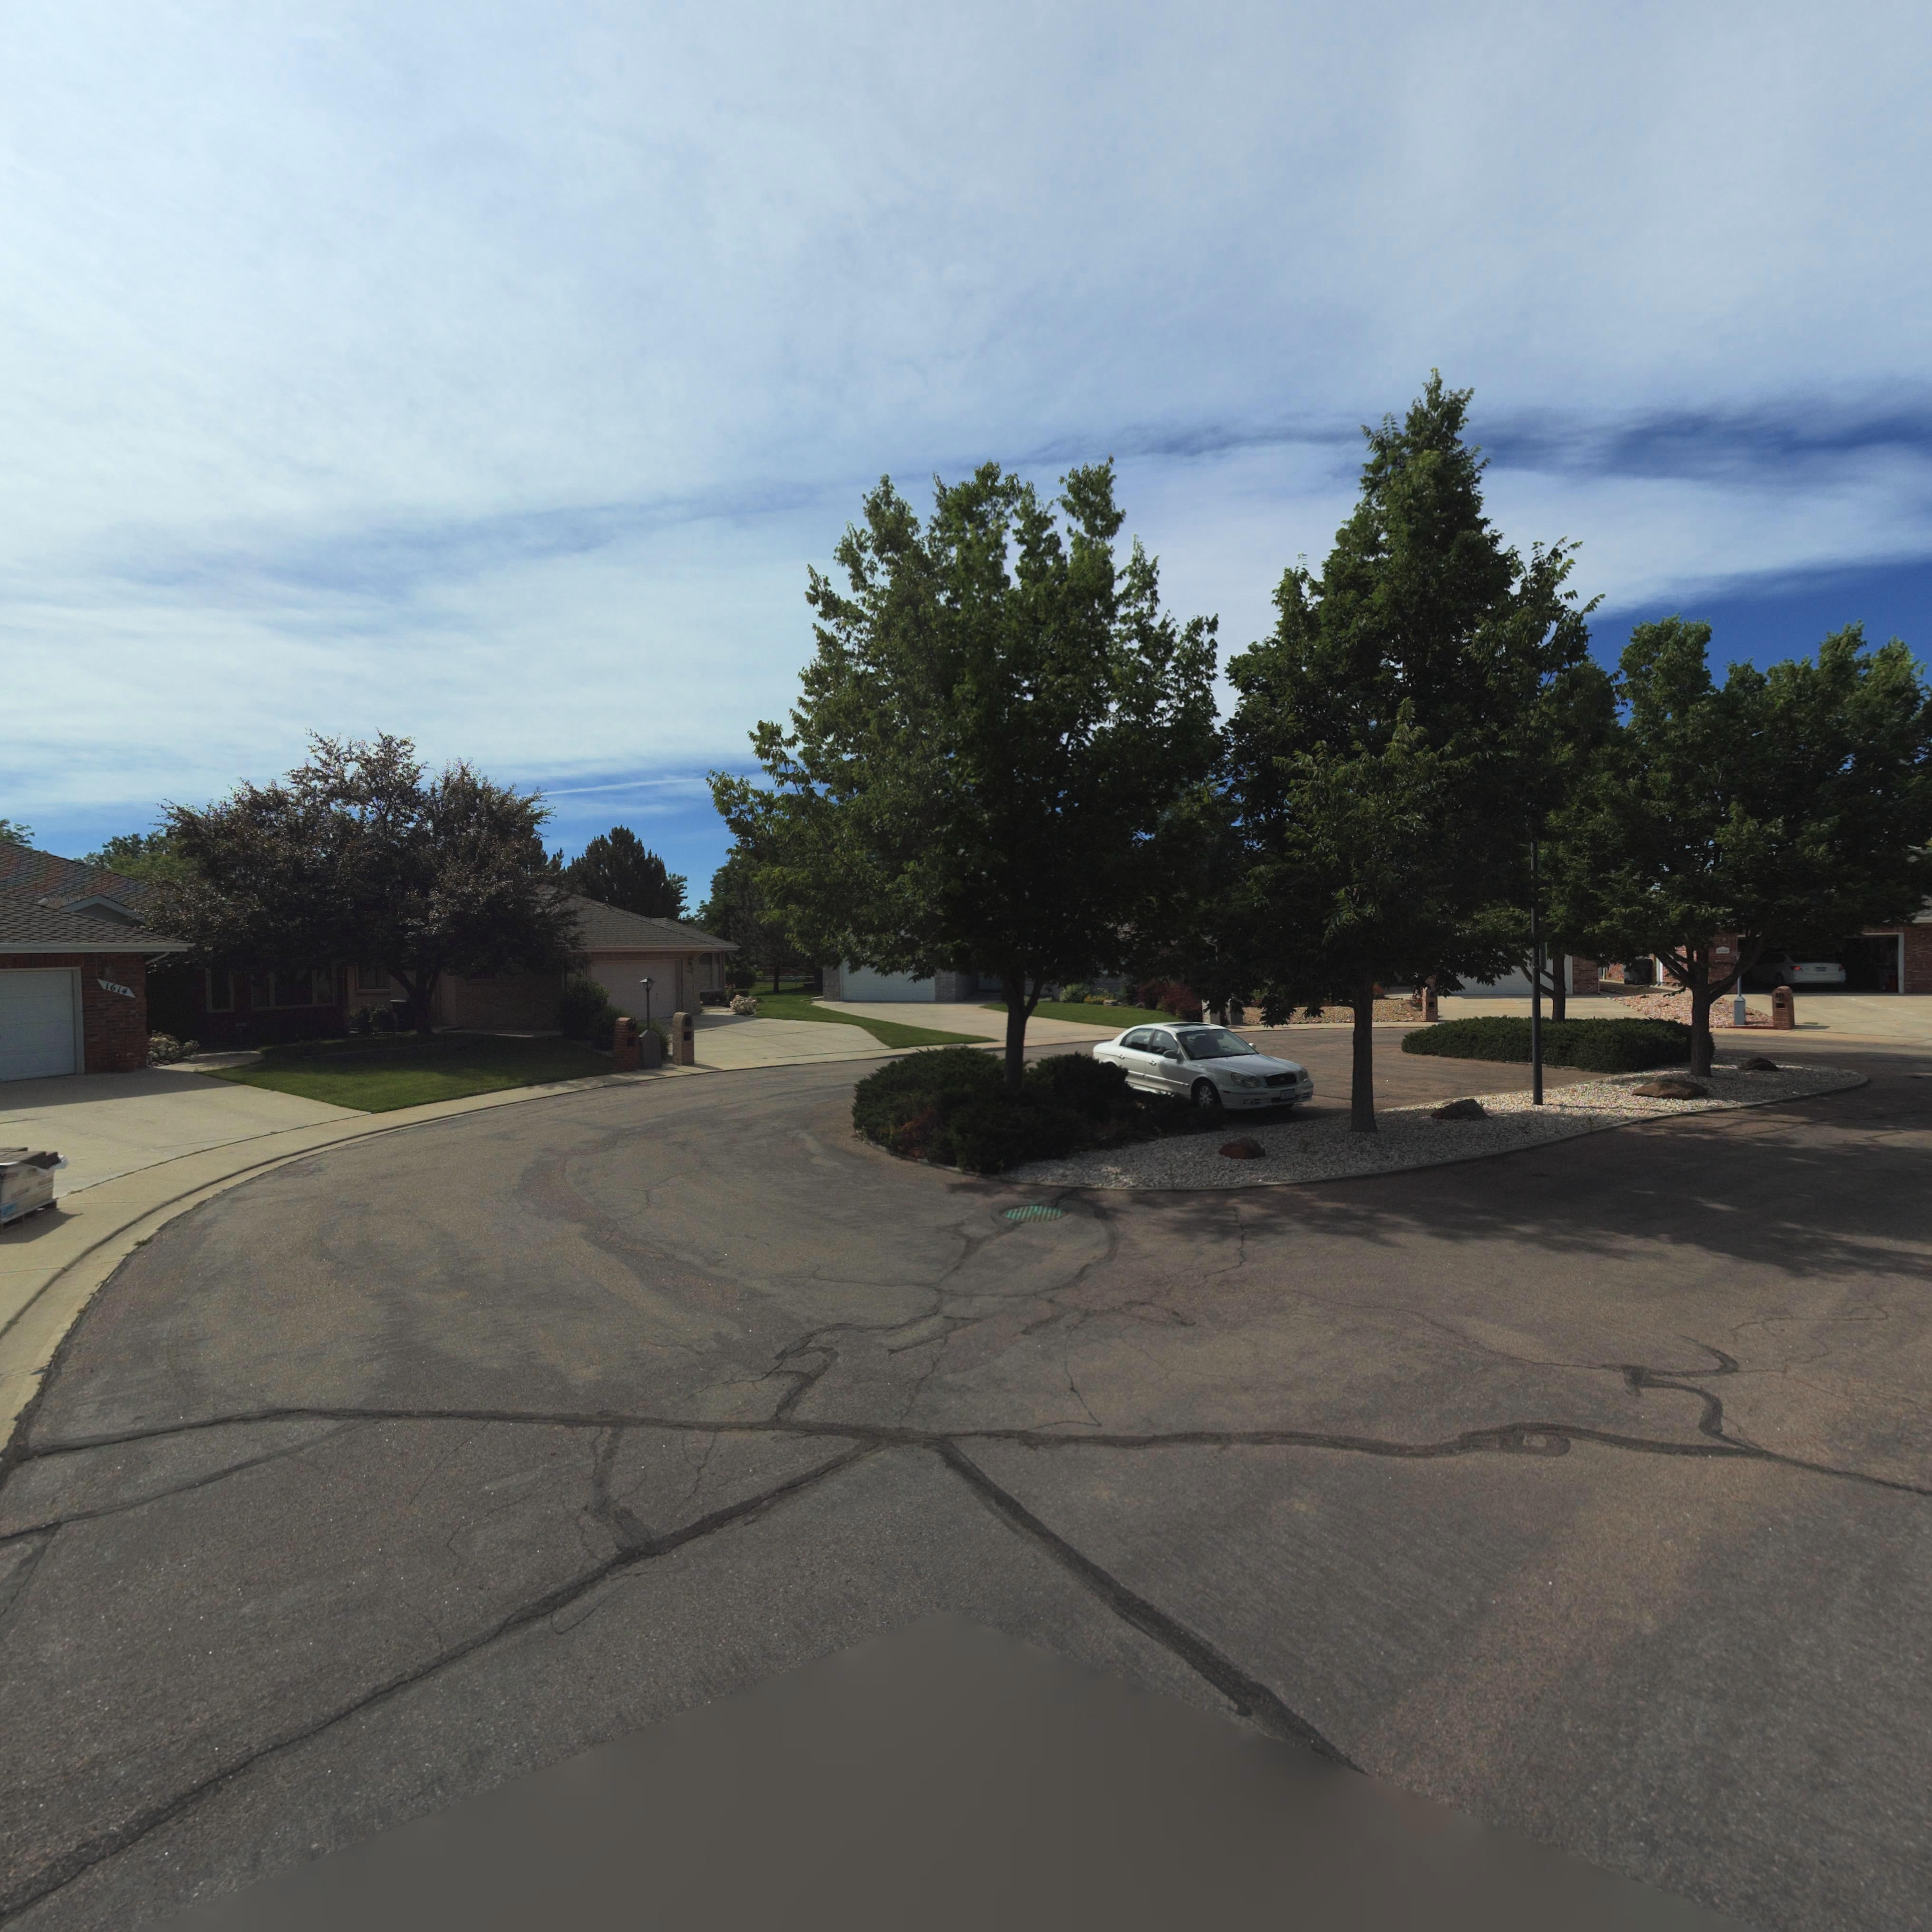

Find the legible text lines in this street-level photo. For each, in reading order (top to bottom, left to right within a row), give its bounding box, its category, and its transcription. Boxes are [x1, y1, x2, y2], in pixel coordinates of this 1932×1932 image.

[1718, 949, 1727, 952] StreetNumber: 1***
[106, 983, 127, 994] StreetNumber: 1614